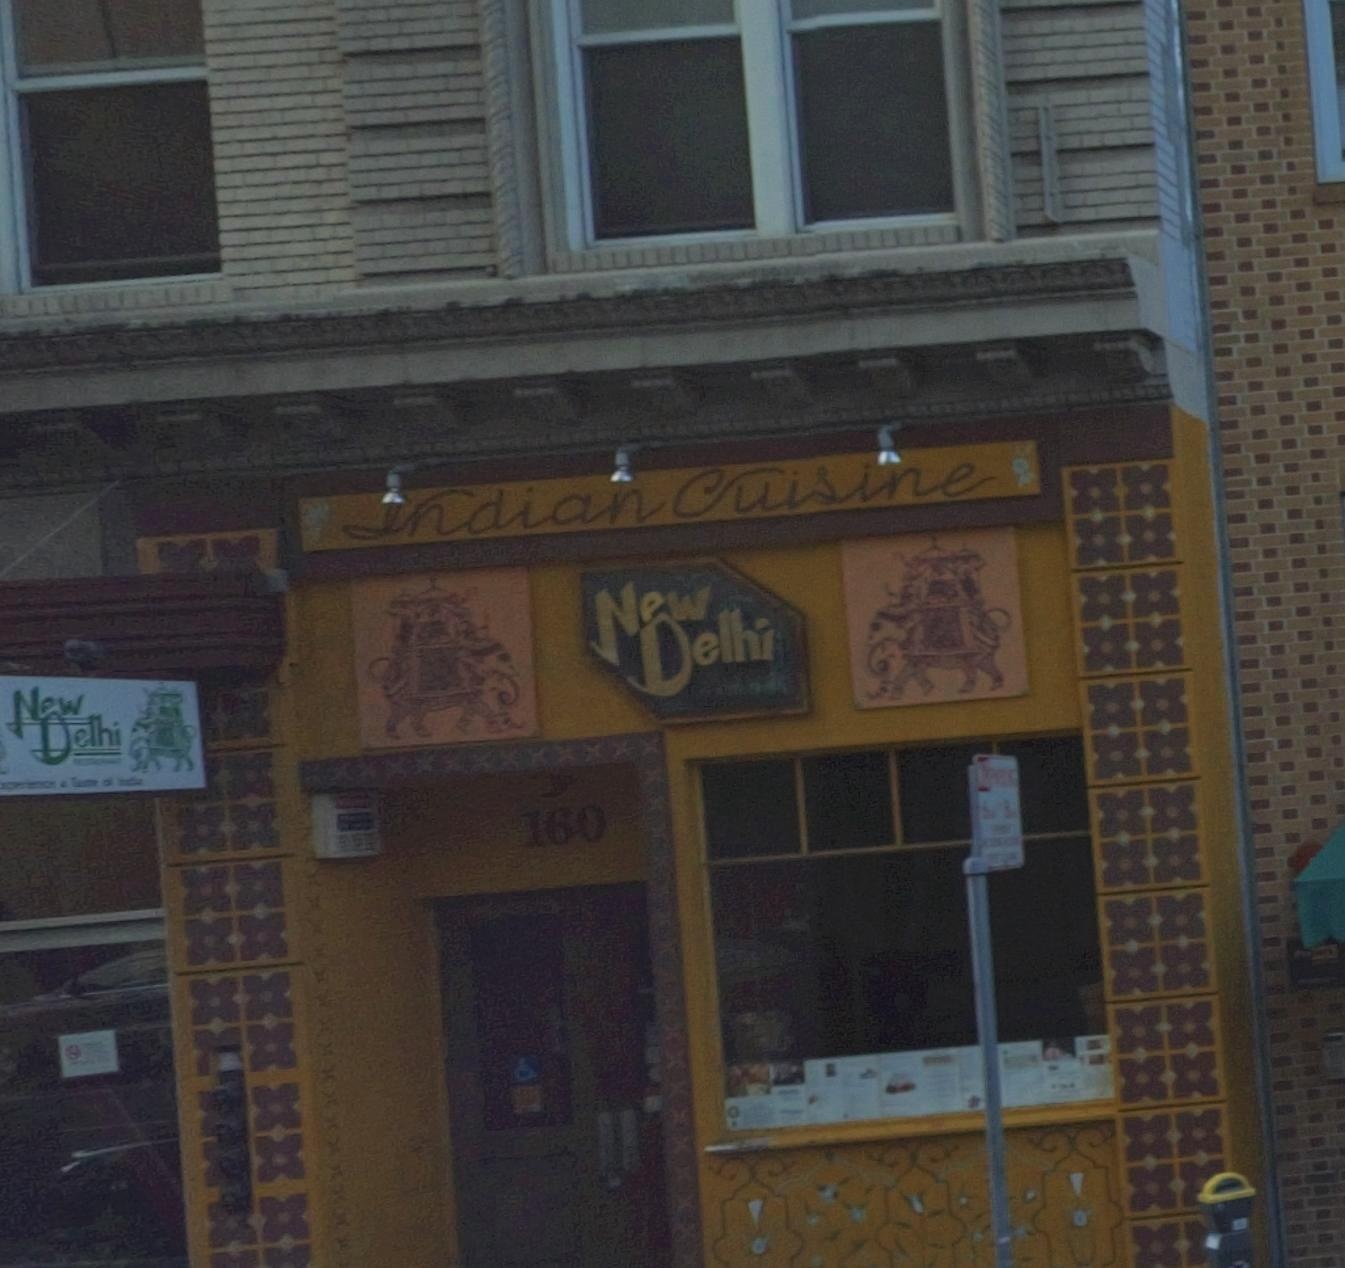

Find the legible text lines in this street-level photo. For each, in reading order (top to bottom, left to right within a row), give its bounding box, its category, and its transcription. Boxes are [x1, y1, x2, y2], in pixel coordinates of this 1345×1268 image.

[338, 453, 1008, 548] None: Indian Cuisine
[589, 572, 717, 651] BusinessName: New Delhi
[630, 600, 782, 705] BusinessName: Delhi
[9, 684, 86, 744] BusinessName: New
[37, 707, 125, 771] BusinessName: Delhi
[515, 800, 610, 853] StreetNumber: 160